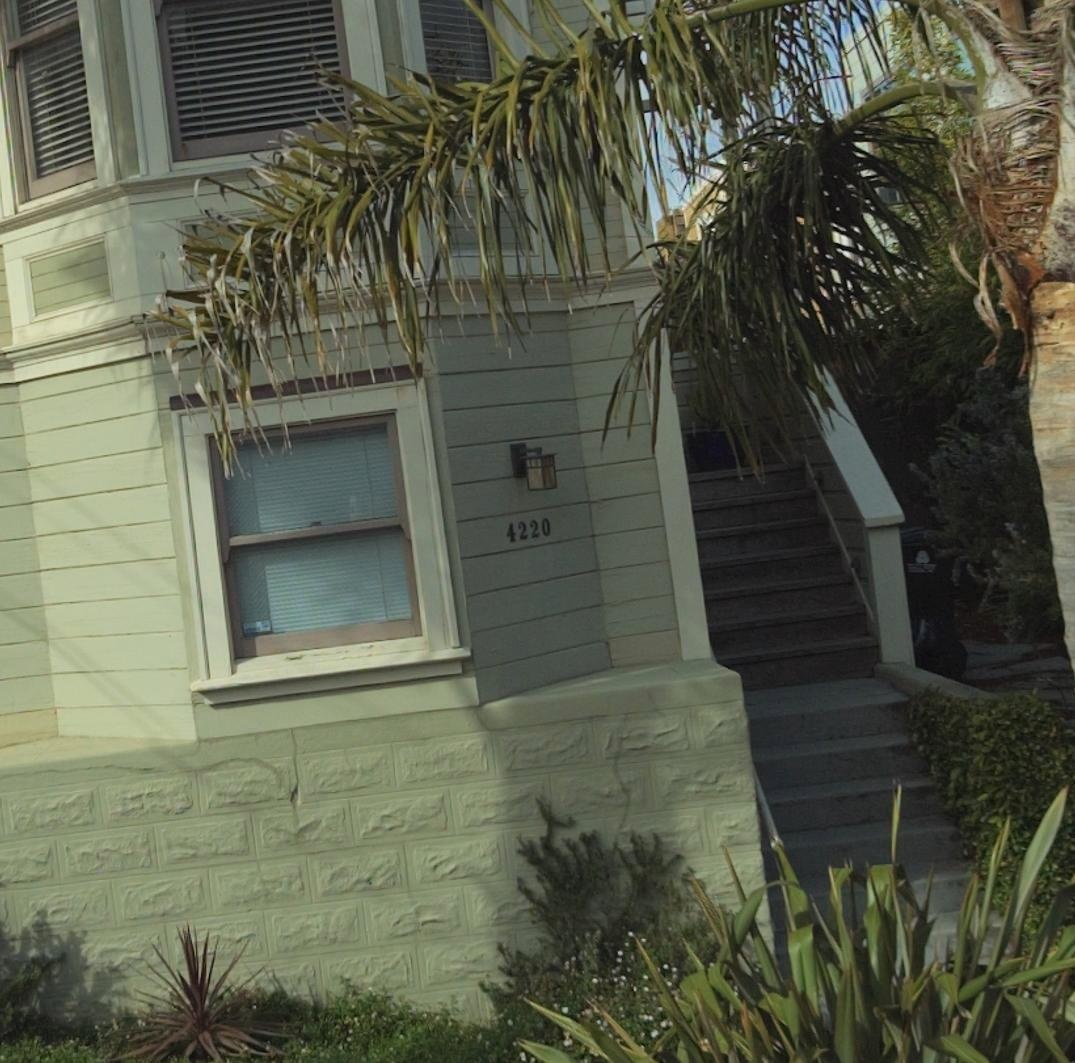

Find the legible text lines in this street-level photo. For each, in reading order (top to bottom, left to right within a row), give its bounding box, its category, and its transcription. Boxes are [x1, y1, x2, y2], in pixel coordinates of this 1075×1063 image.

[504, 516, 553, 544] StreetNumber: 4220